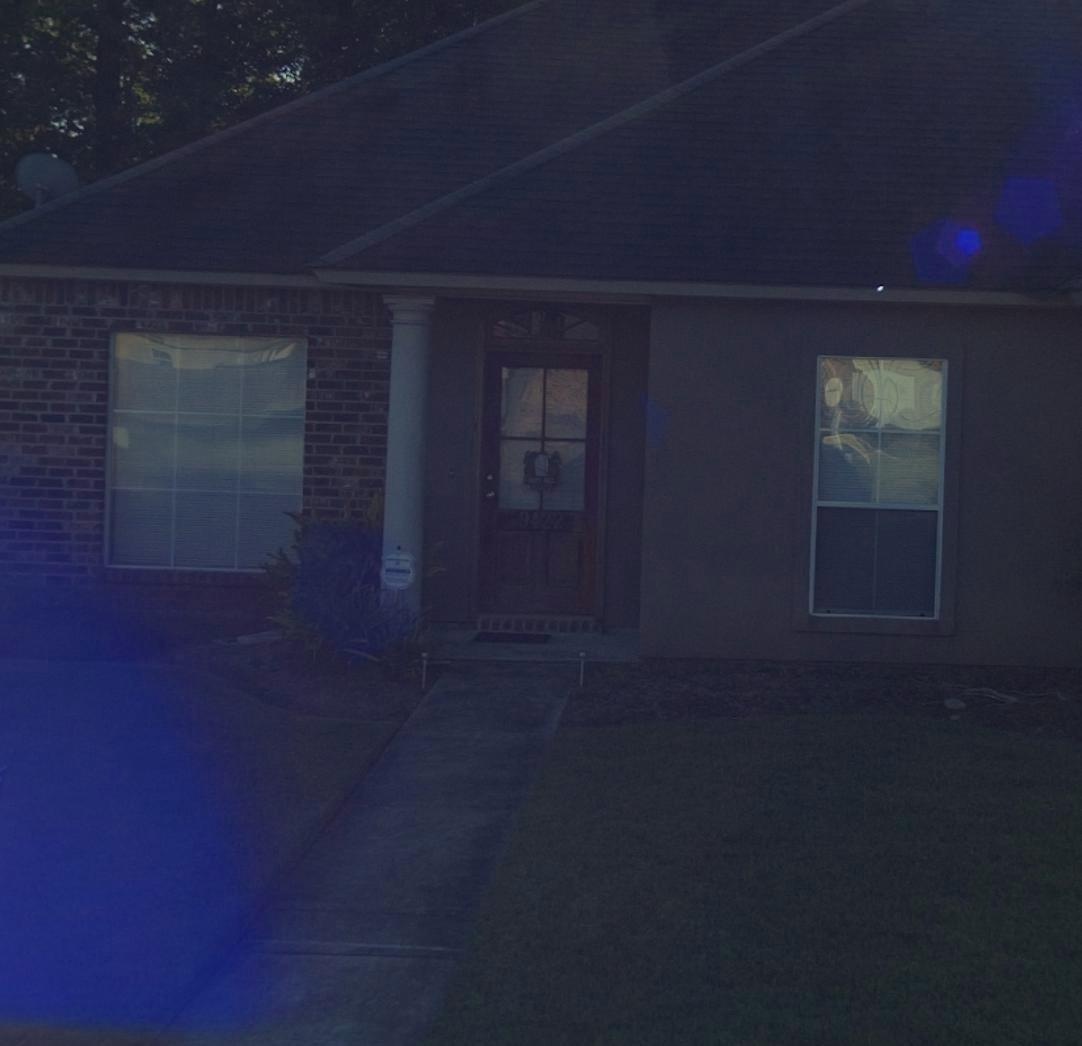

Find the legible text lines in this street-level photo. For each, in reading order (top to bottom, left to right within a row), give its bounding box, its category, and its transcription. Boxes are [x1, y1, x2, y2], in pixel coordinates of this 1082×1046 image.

[517, 509, 565, 530] StreetNumber: 9422